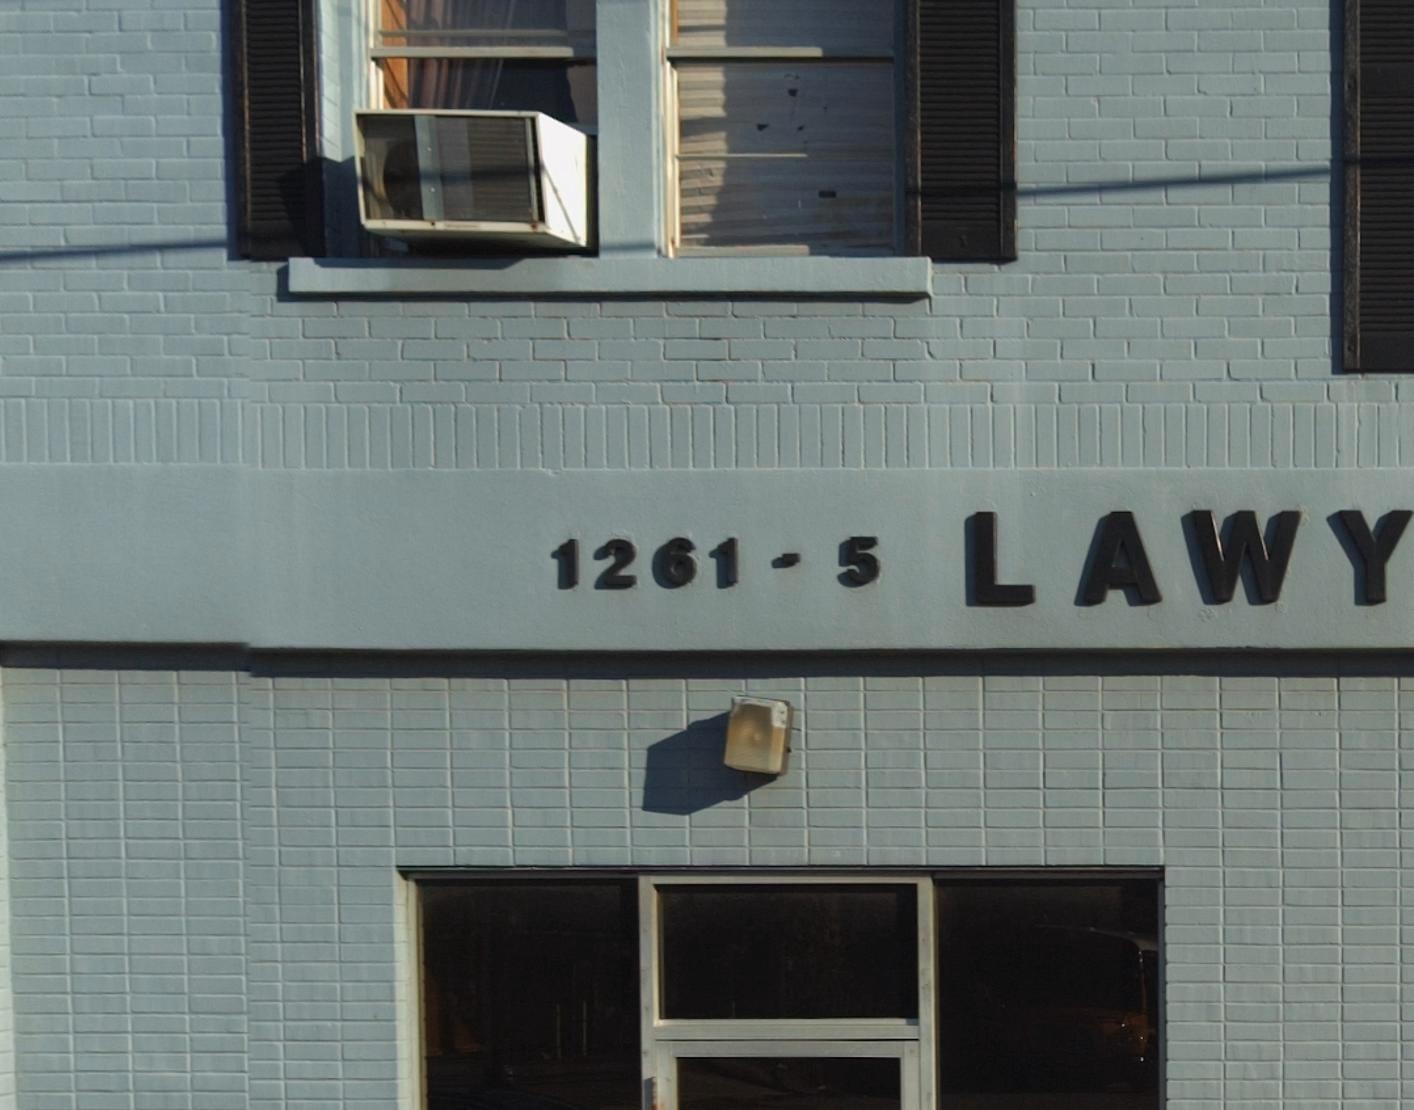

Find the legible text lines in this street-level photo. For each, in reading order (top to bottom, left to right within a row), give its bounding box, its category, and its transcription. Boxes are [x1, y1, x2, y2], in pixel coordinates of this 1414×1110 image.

[546, 533, 740, 594] StreetNumber: 1261
[837, 533, 881, 589] None: 5
[961, 504, 1411, 612] None: LAWY